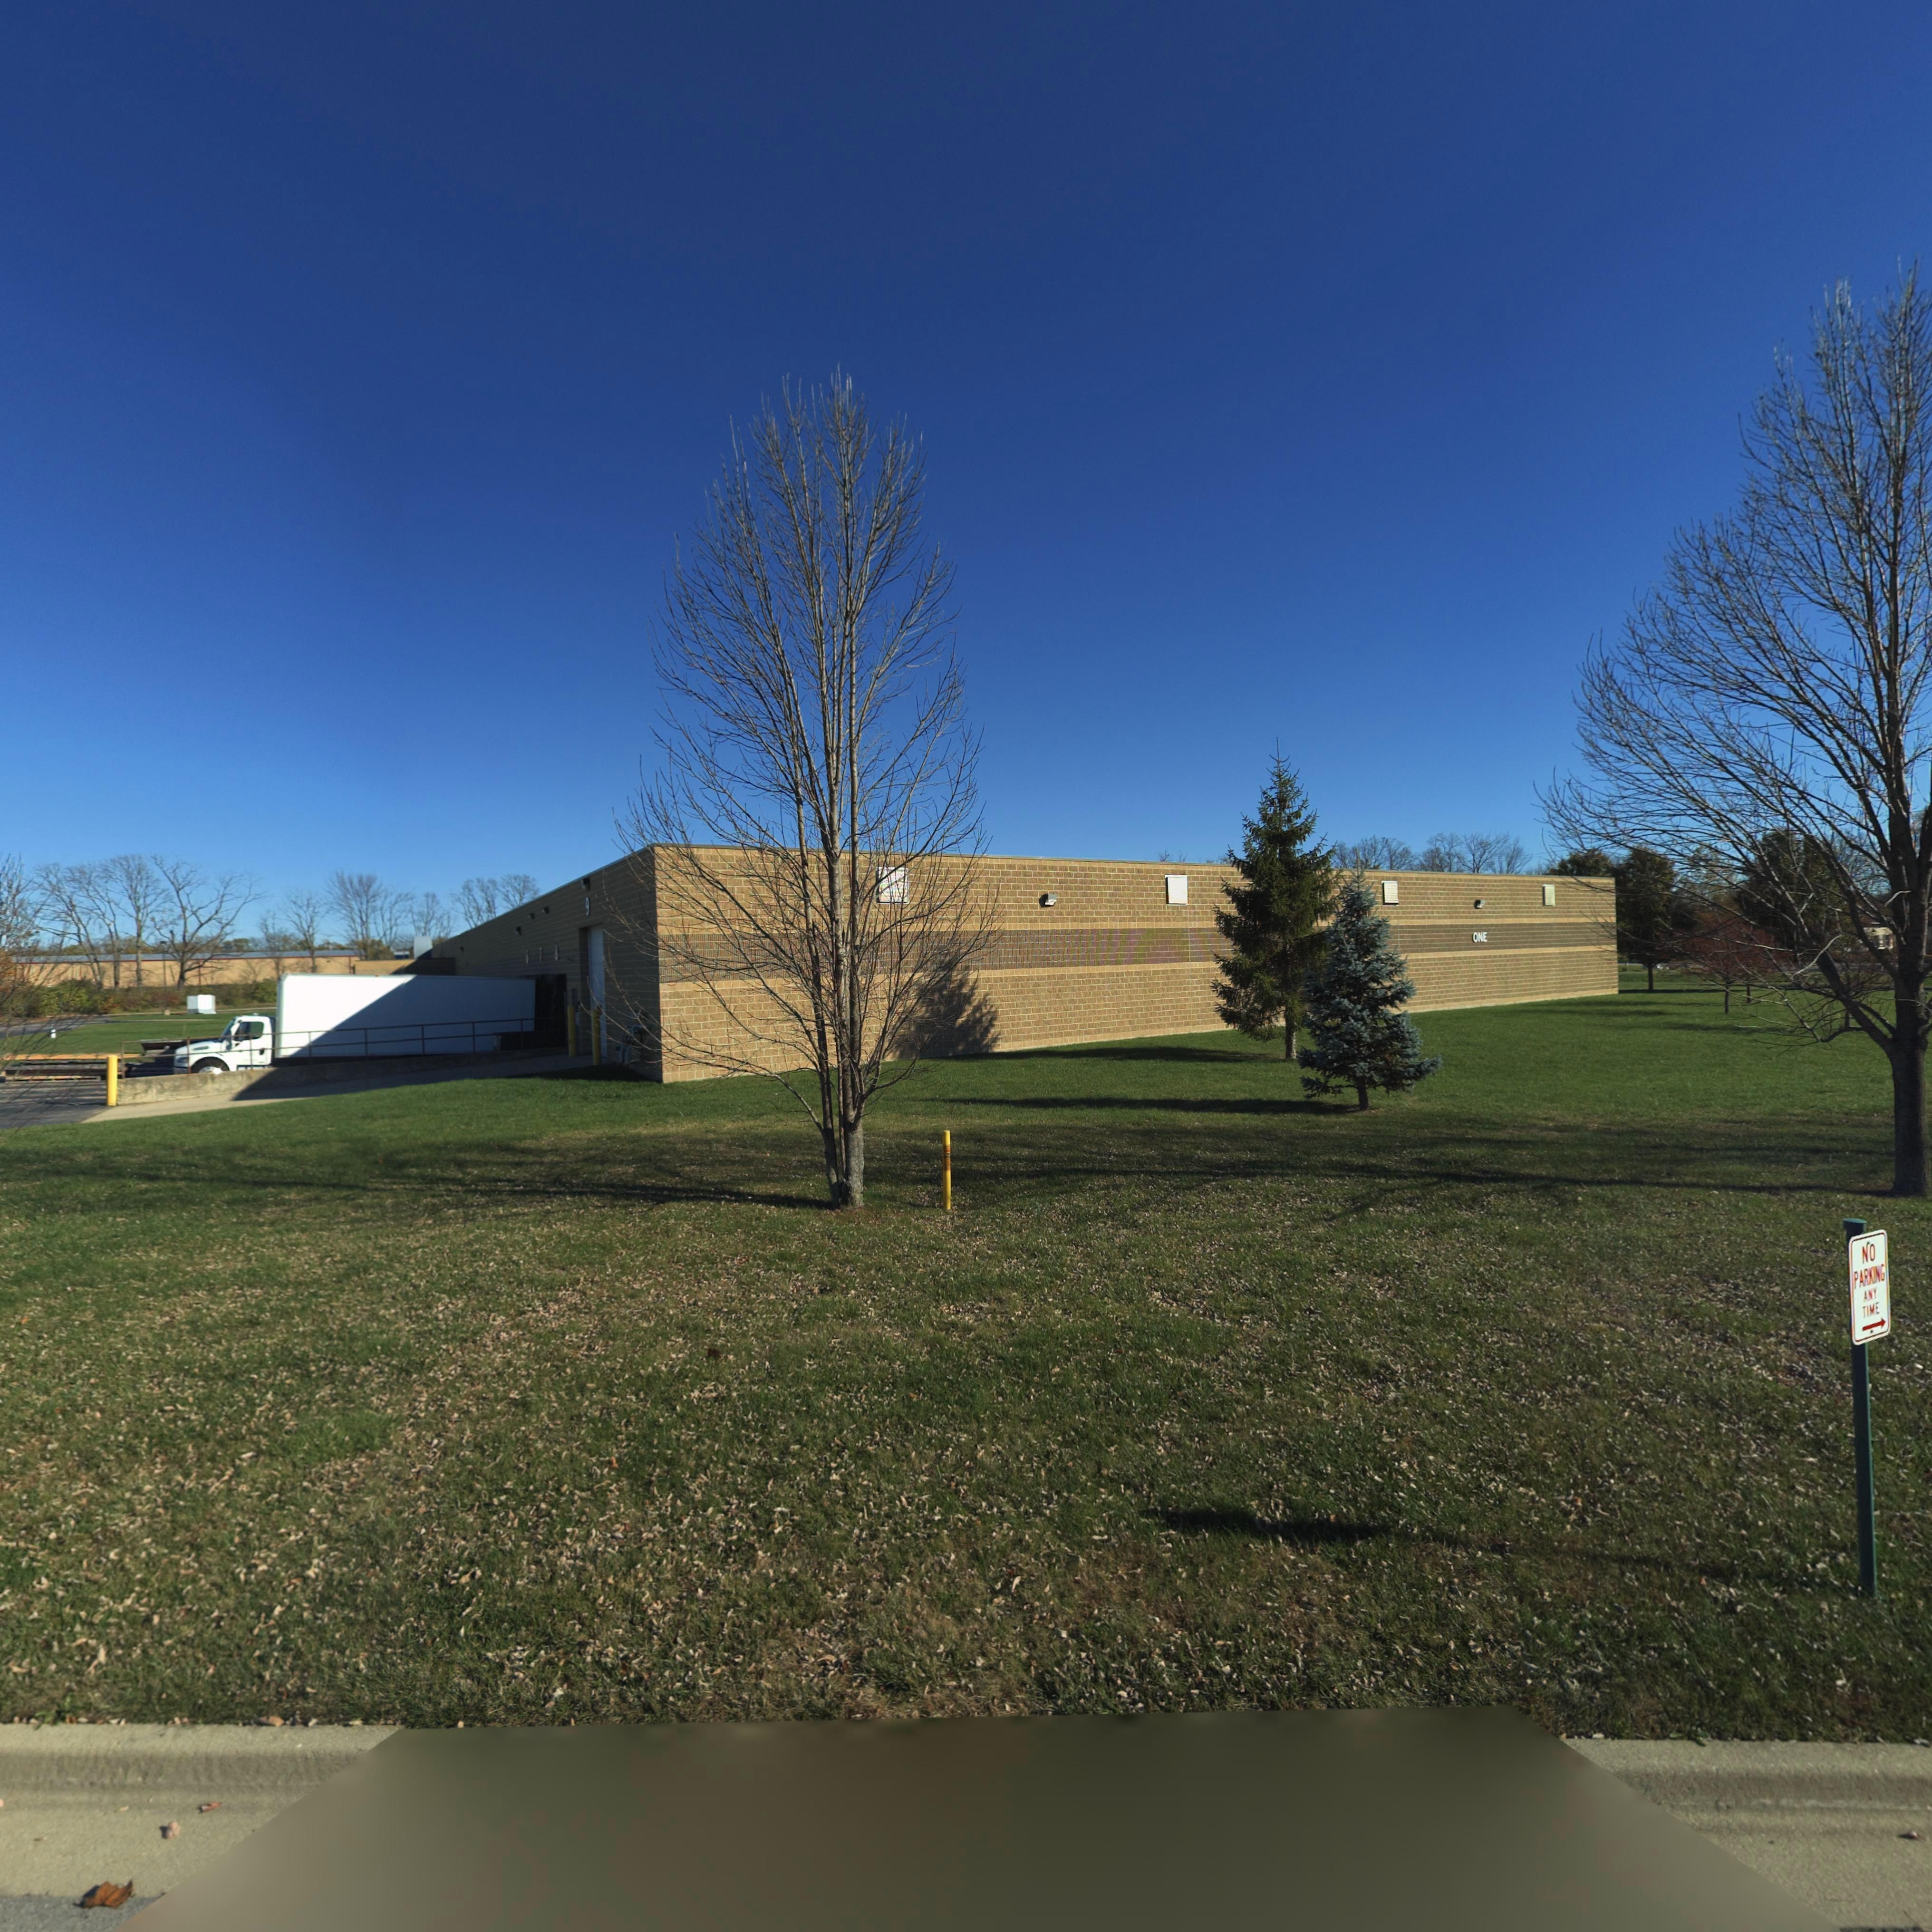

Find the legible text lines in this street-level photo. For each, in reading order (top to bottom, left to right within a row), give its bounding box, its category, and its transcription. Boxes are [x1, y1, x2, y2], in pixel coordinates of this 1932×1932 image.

[1472, 932, 1488, 943] StreetNumber: ONE